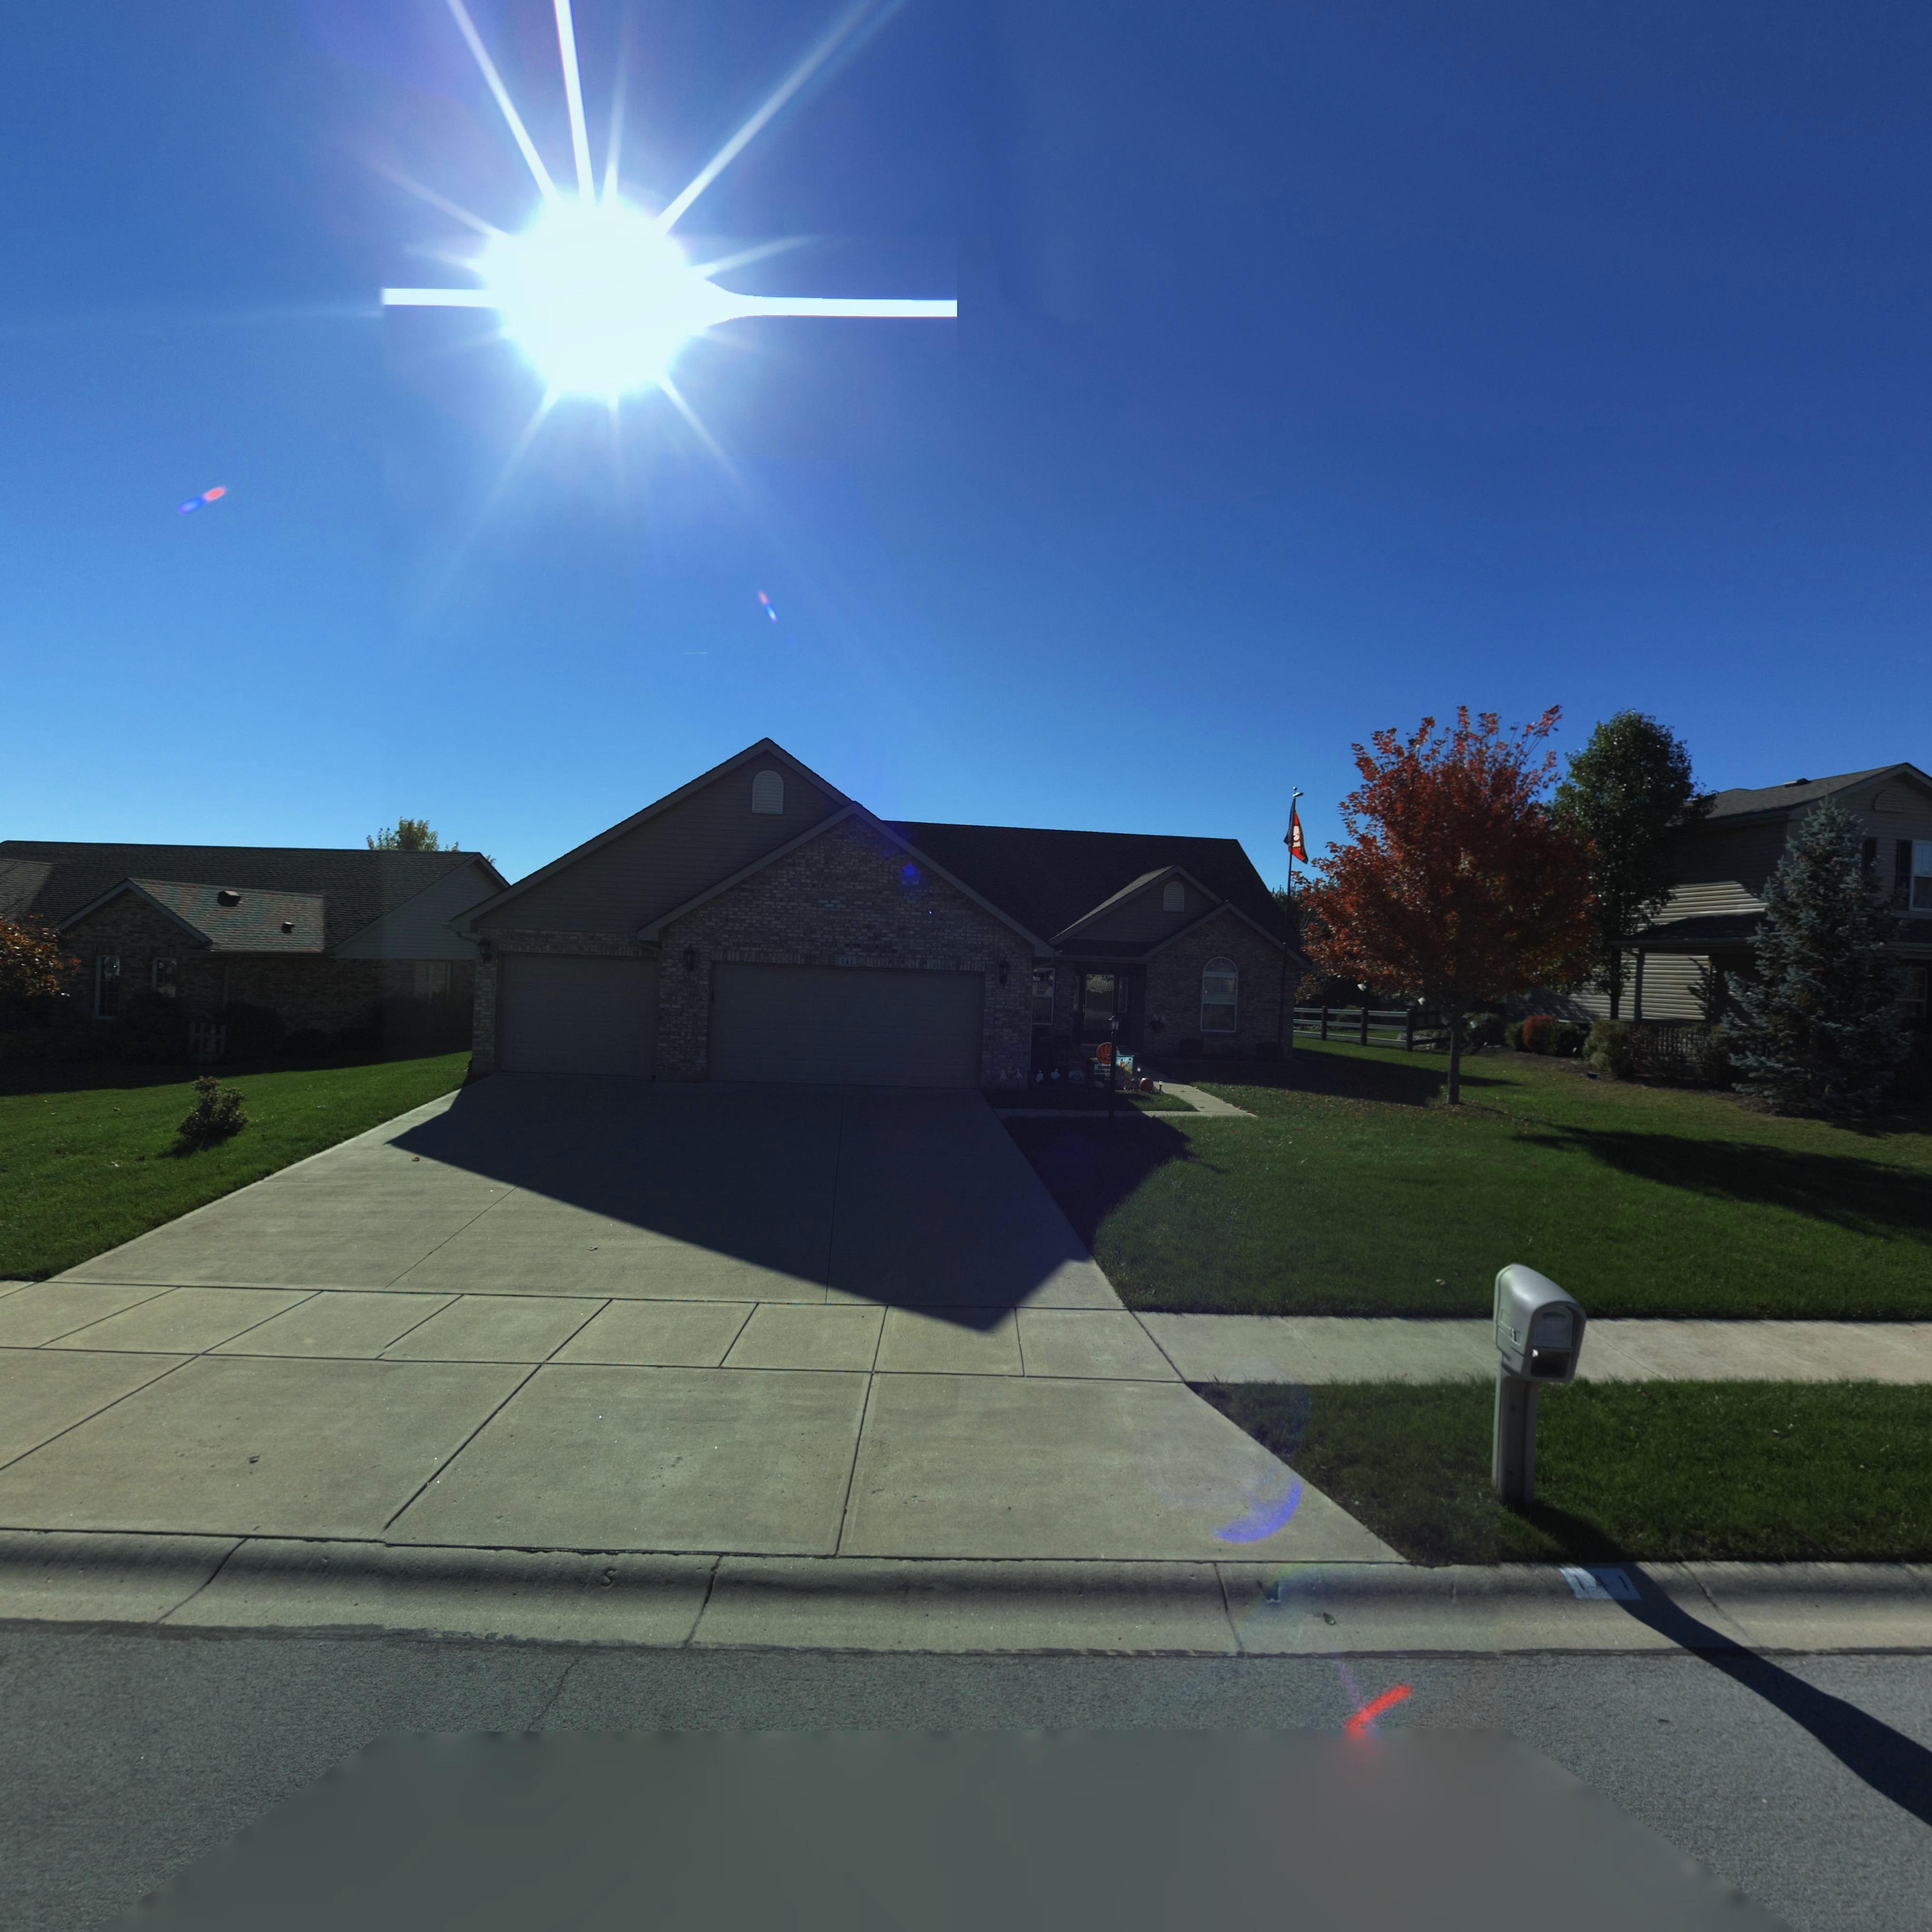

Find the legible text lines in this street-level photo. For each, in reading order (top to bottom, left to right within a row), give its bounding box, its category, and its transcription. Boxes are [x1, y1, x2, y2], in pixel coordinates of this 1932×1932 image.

[841, 957, 854, 966] StreetNumber: 141
[1513, 1329, 1517, 1343] StreetNumber: 1
[1571, 1574, 1633, 1592] StreetNumber: 141